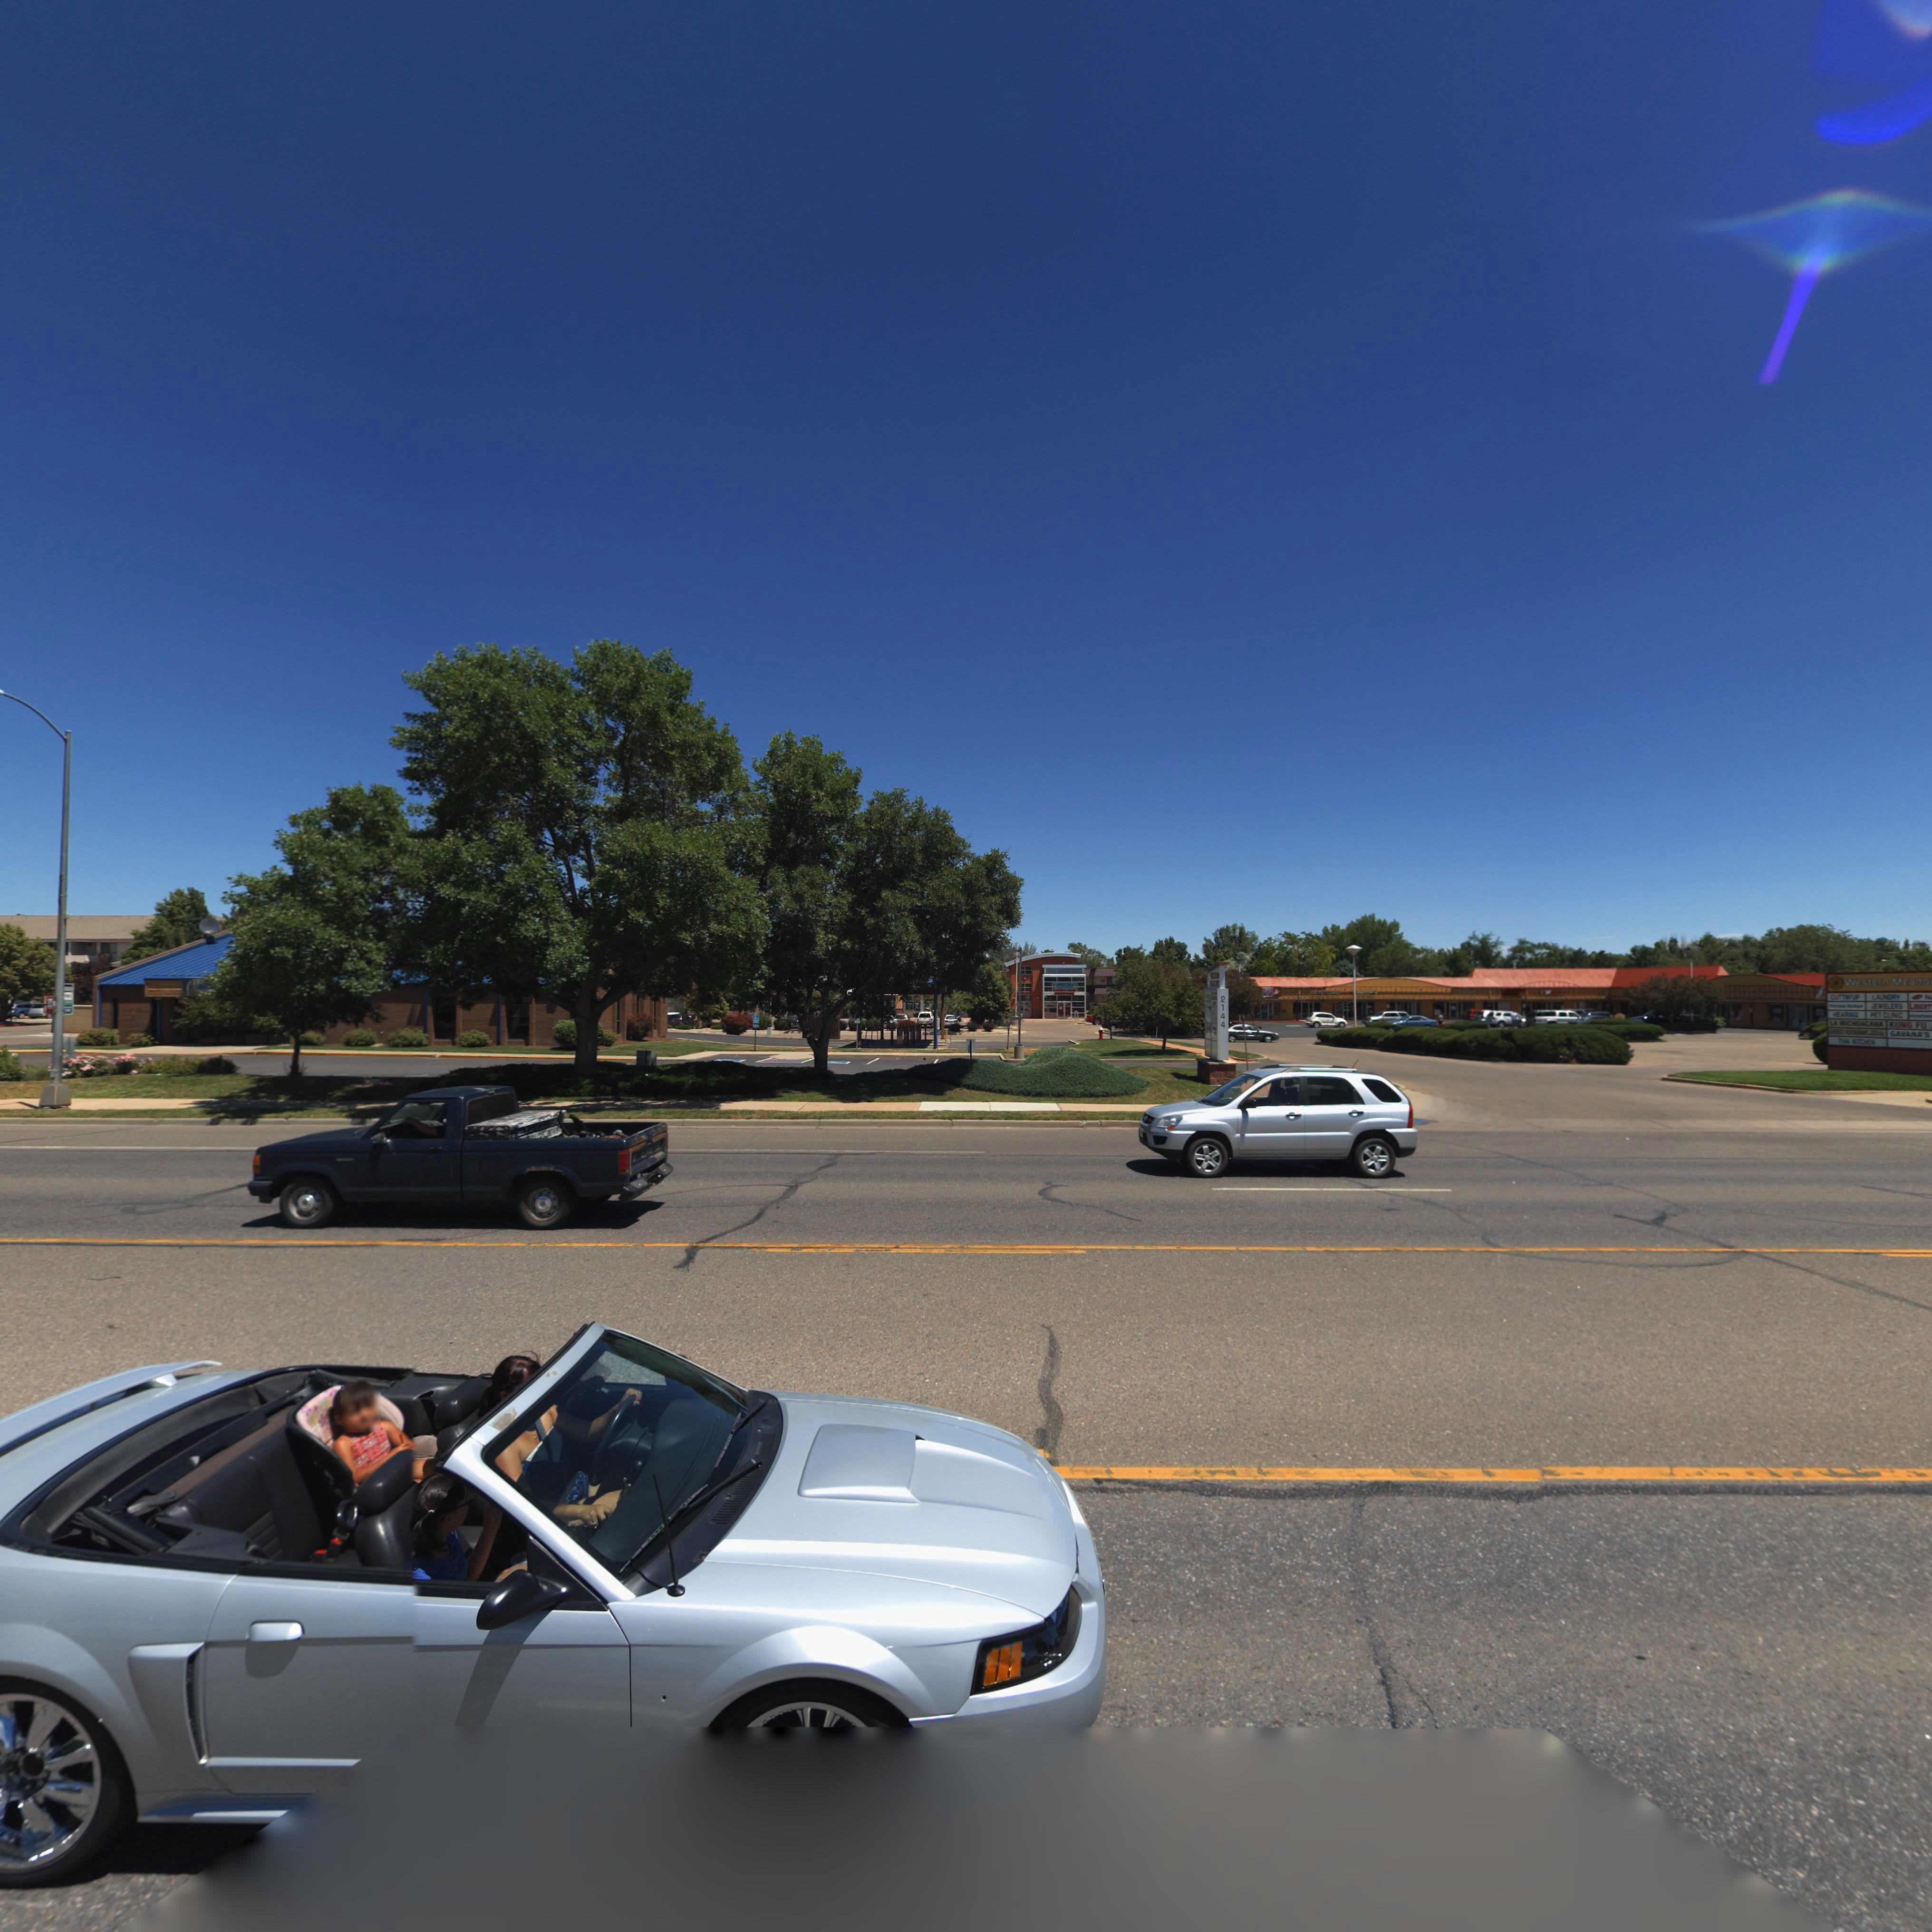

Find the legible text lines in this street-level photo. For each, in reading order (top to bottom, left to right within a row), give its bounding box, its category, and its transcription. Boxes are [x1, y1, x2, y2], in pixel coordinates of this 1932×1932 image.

[1220, 995, 1225, 1028] StreetNumber: 2144
[1909, 1003, 1928, 1009] BusinessName: L****